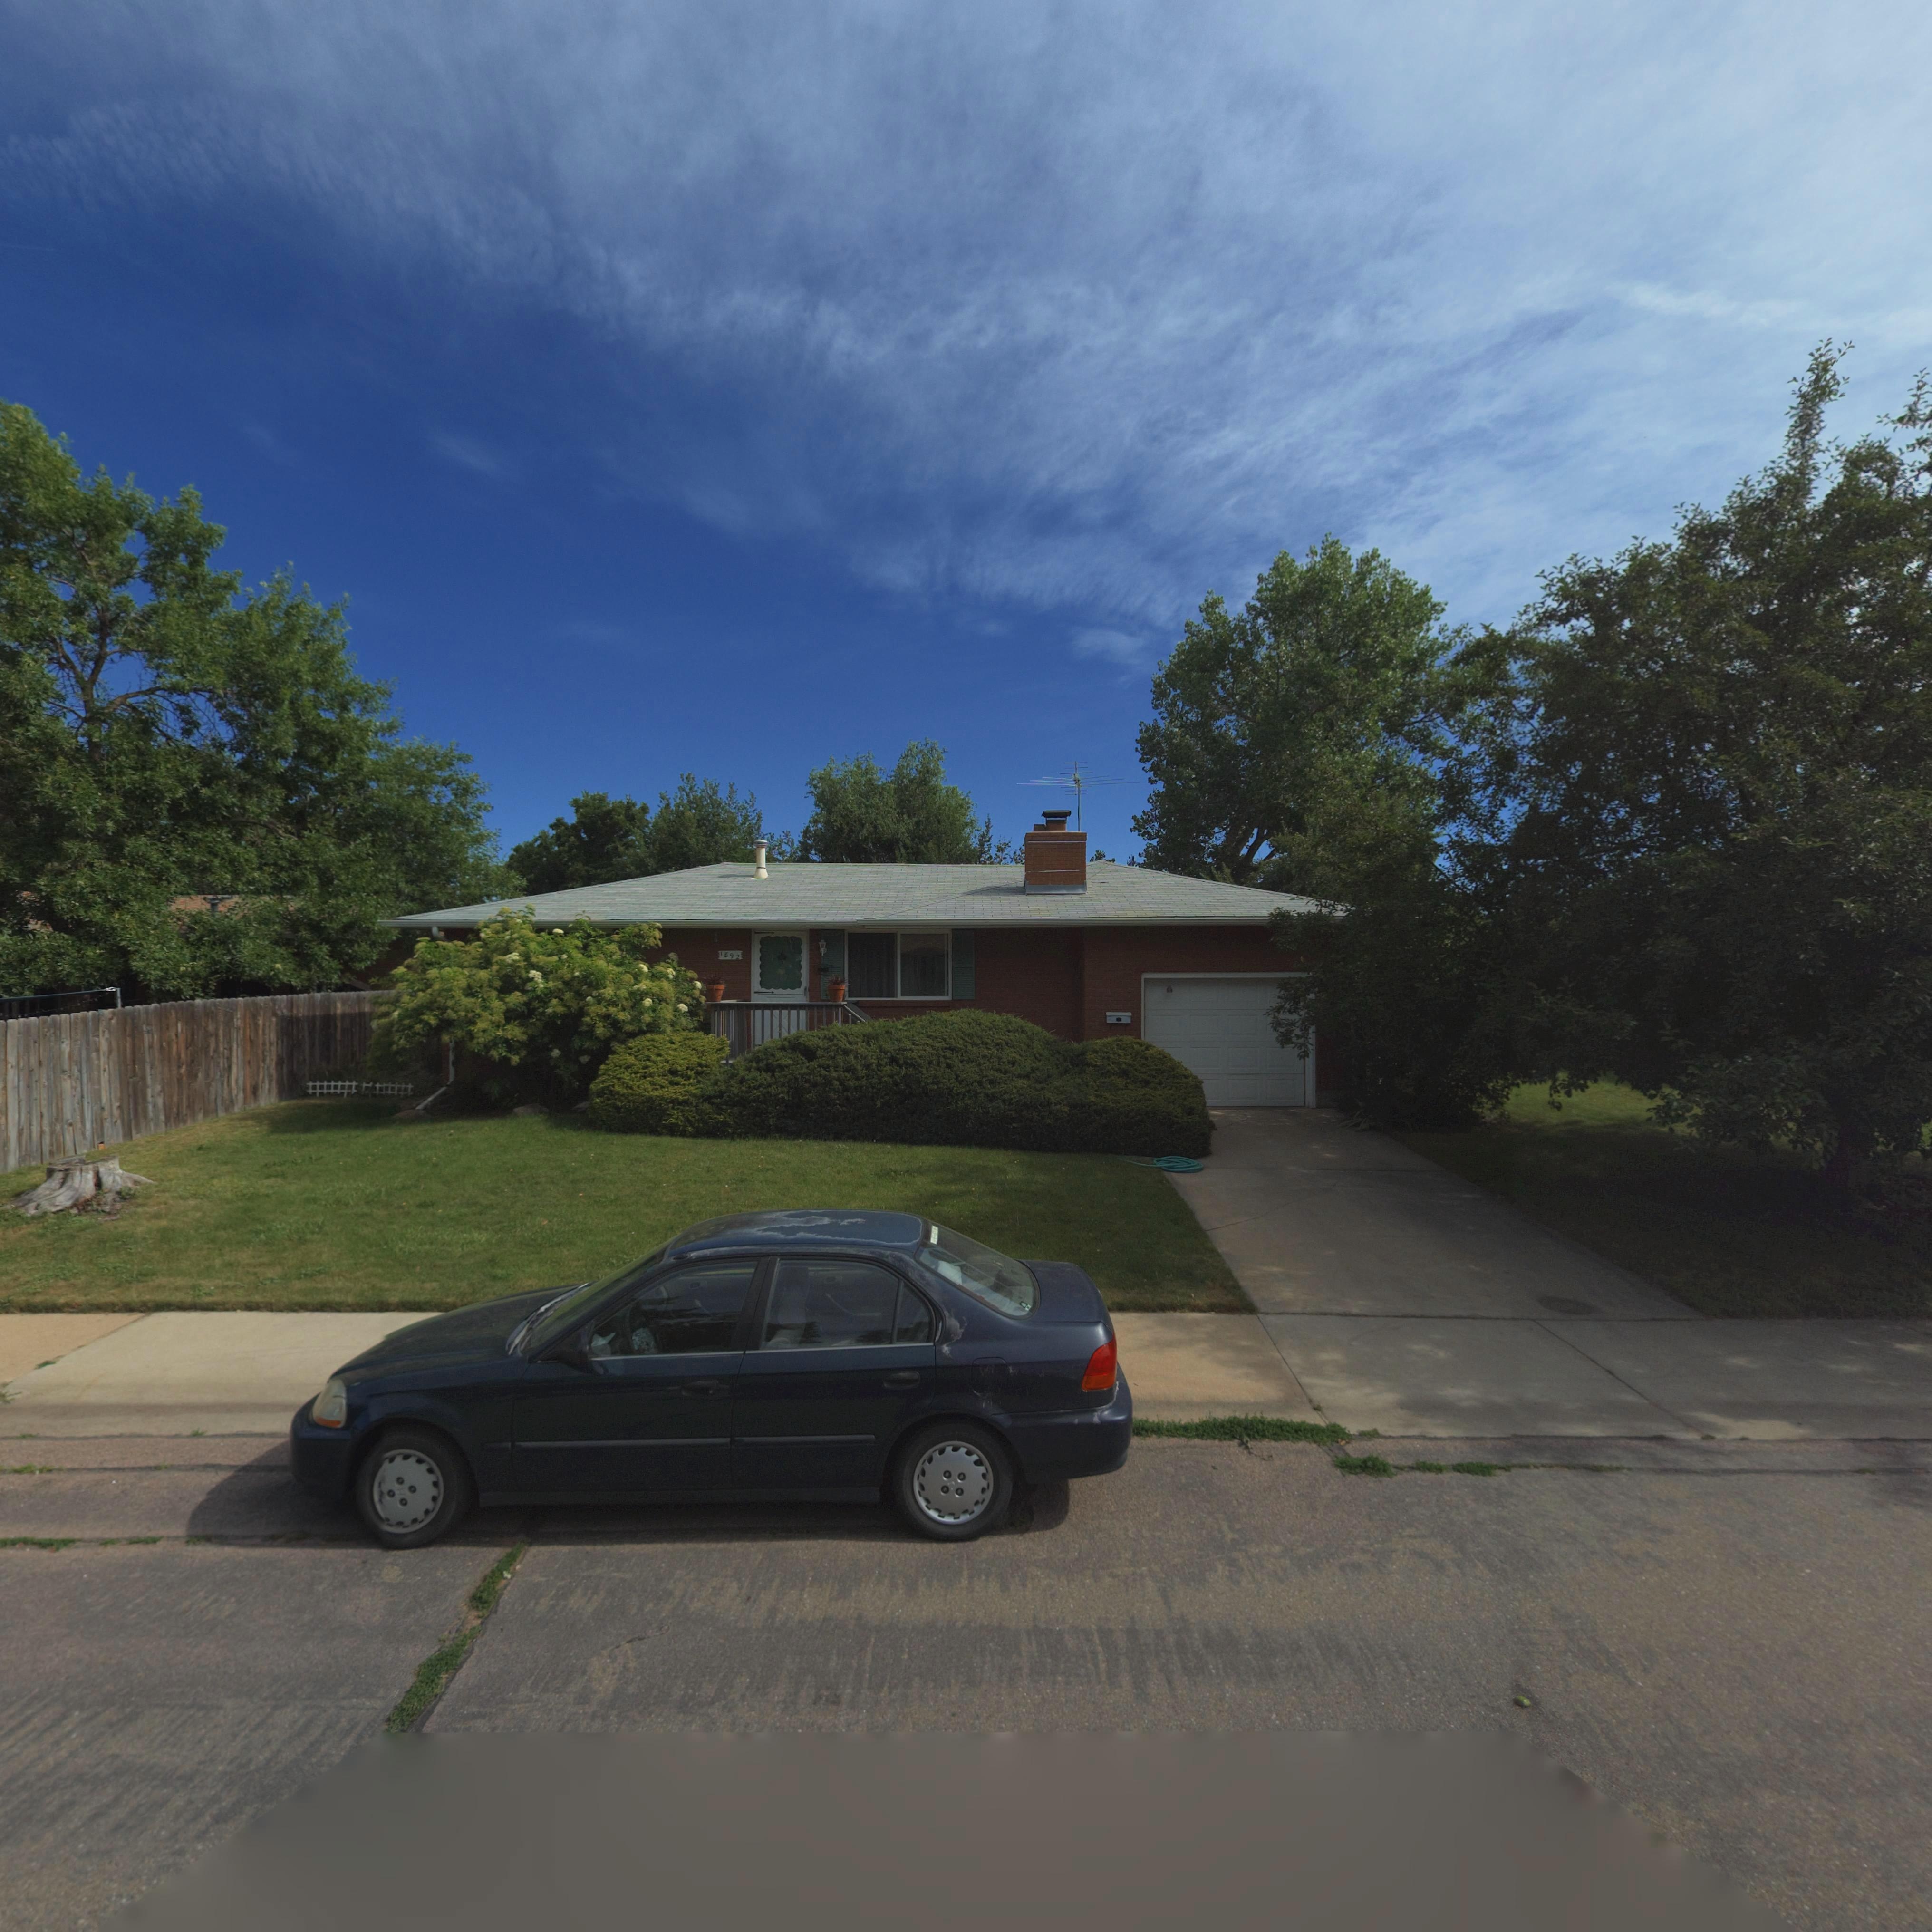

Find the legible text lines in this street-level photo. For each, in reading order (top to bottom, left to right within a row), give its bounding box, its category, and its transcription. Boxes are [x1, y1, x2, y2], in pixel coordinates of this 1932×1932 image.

[720, 950, 740, 960] StreetNumber: 1892